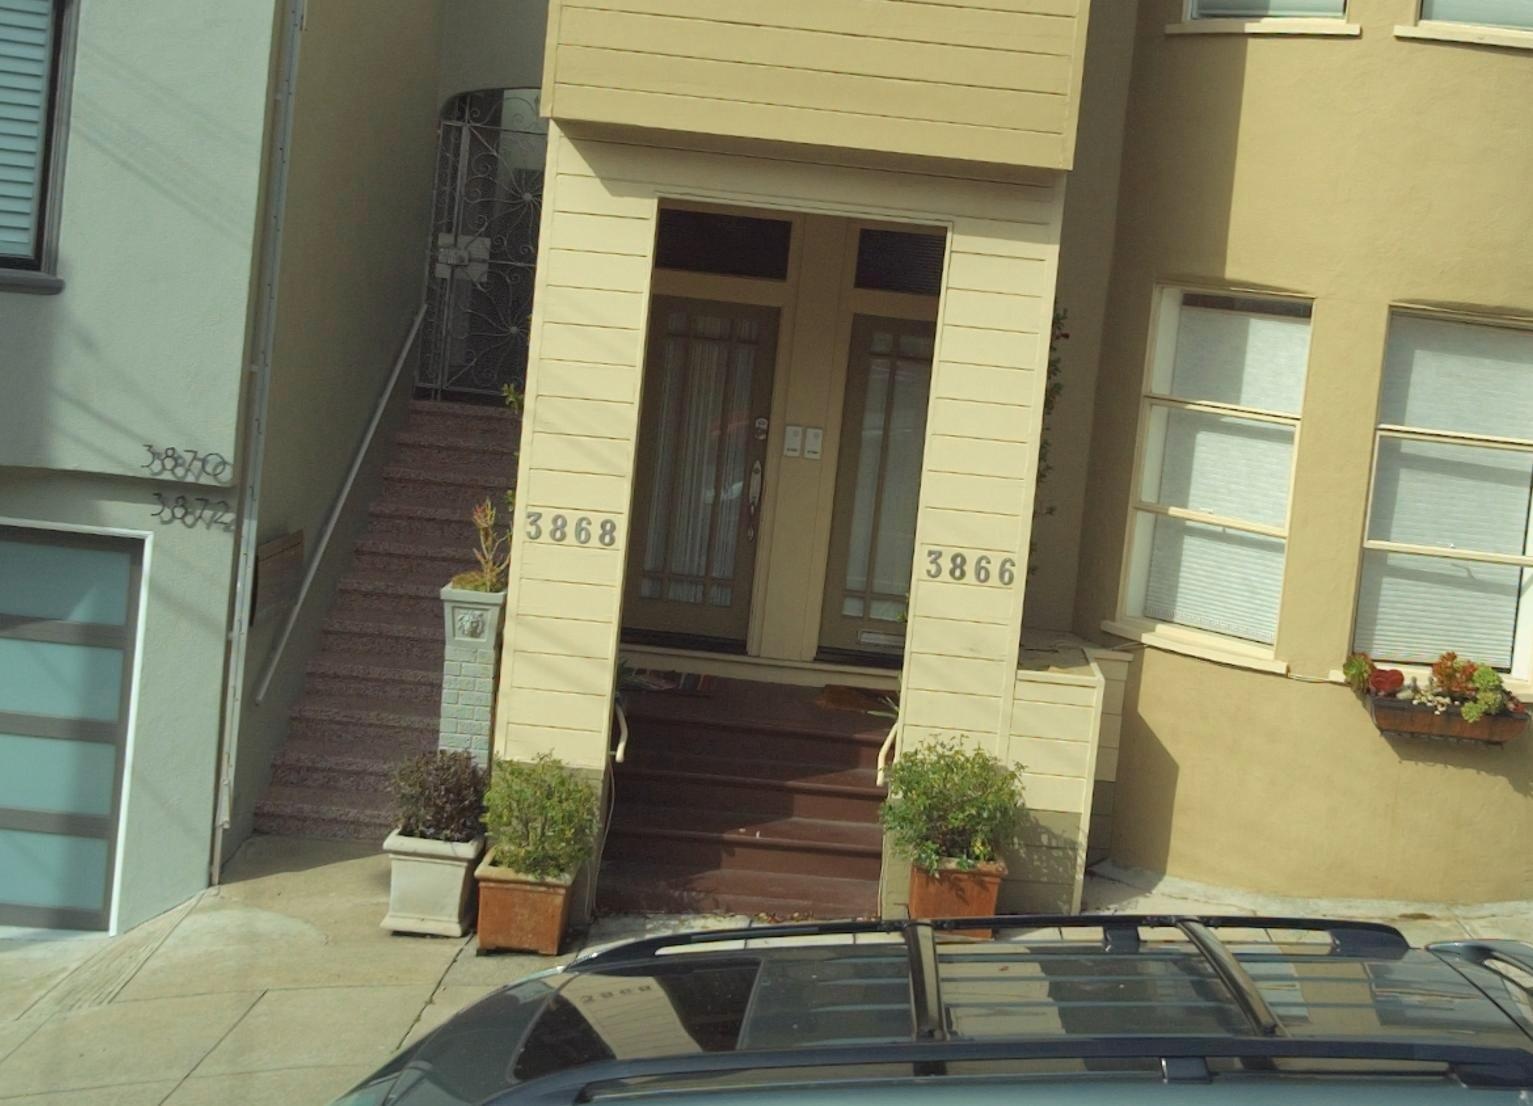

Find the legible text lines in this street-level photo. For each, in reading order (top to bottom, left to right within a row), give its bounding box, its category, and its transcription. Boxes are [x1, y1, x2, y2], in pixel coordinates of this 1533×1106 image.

[138, 443, 227, 478] StreetNumber: 3870
[149, 490, 229, 527] StreetNumber: 3872
[523, 510, 619, 549] StreetNumber: 3868
[924, 548, 1018, 587] StreetNumber: 3866